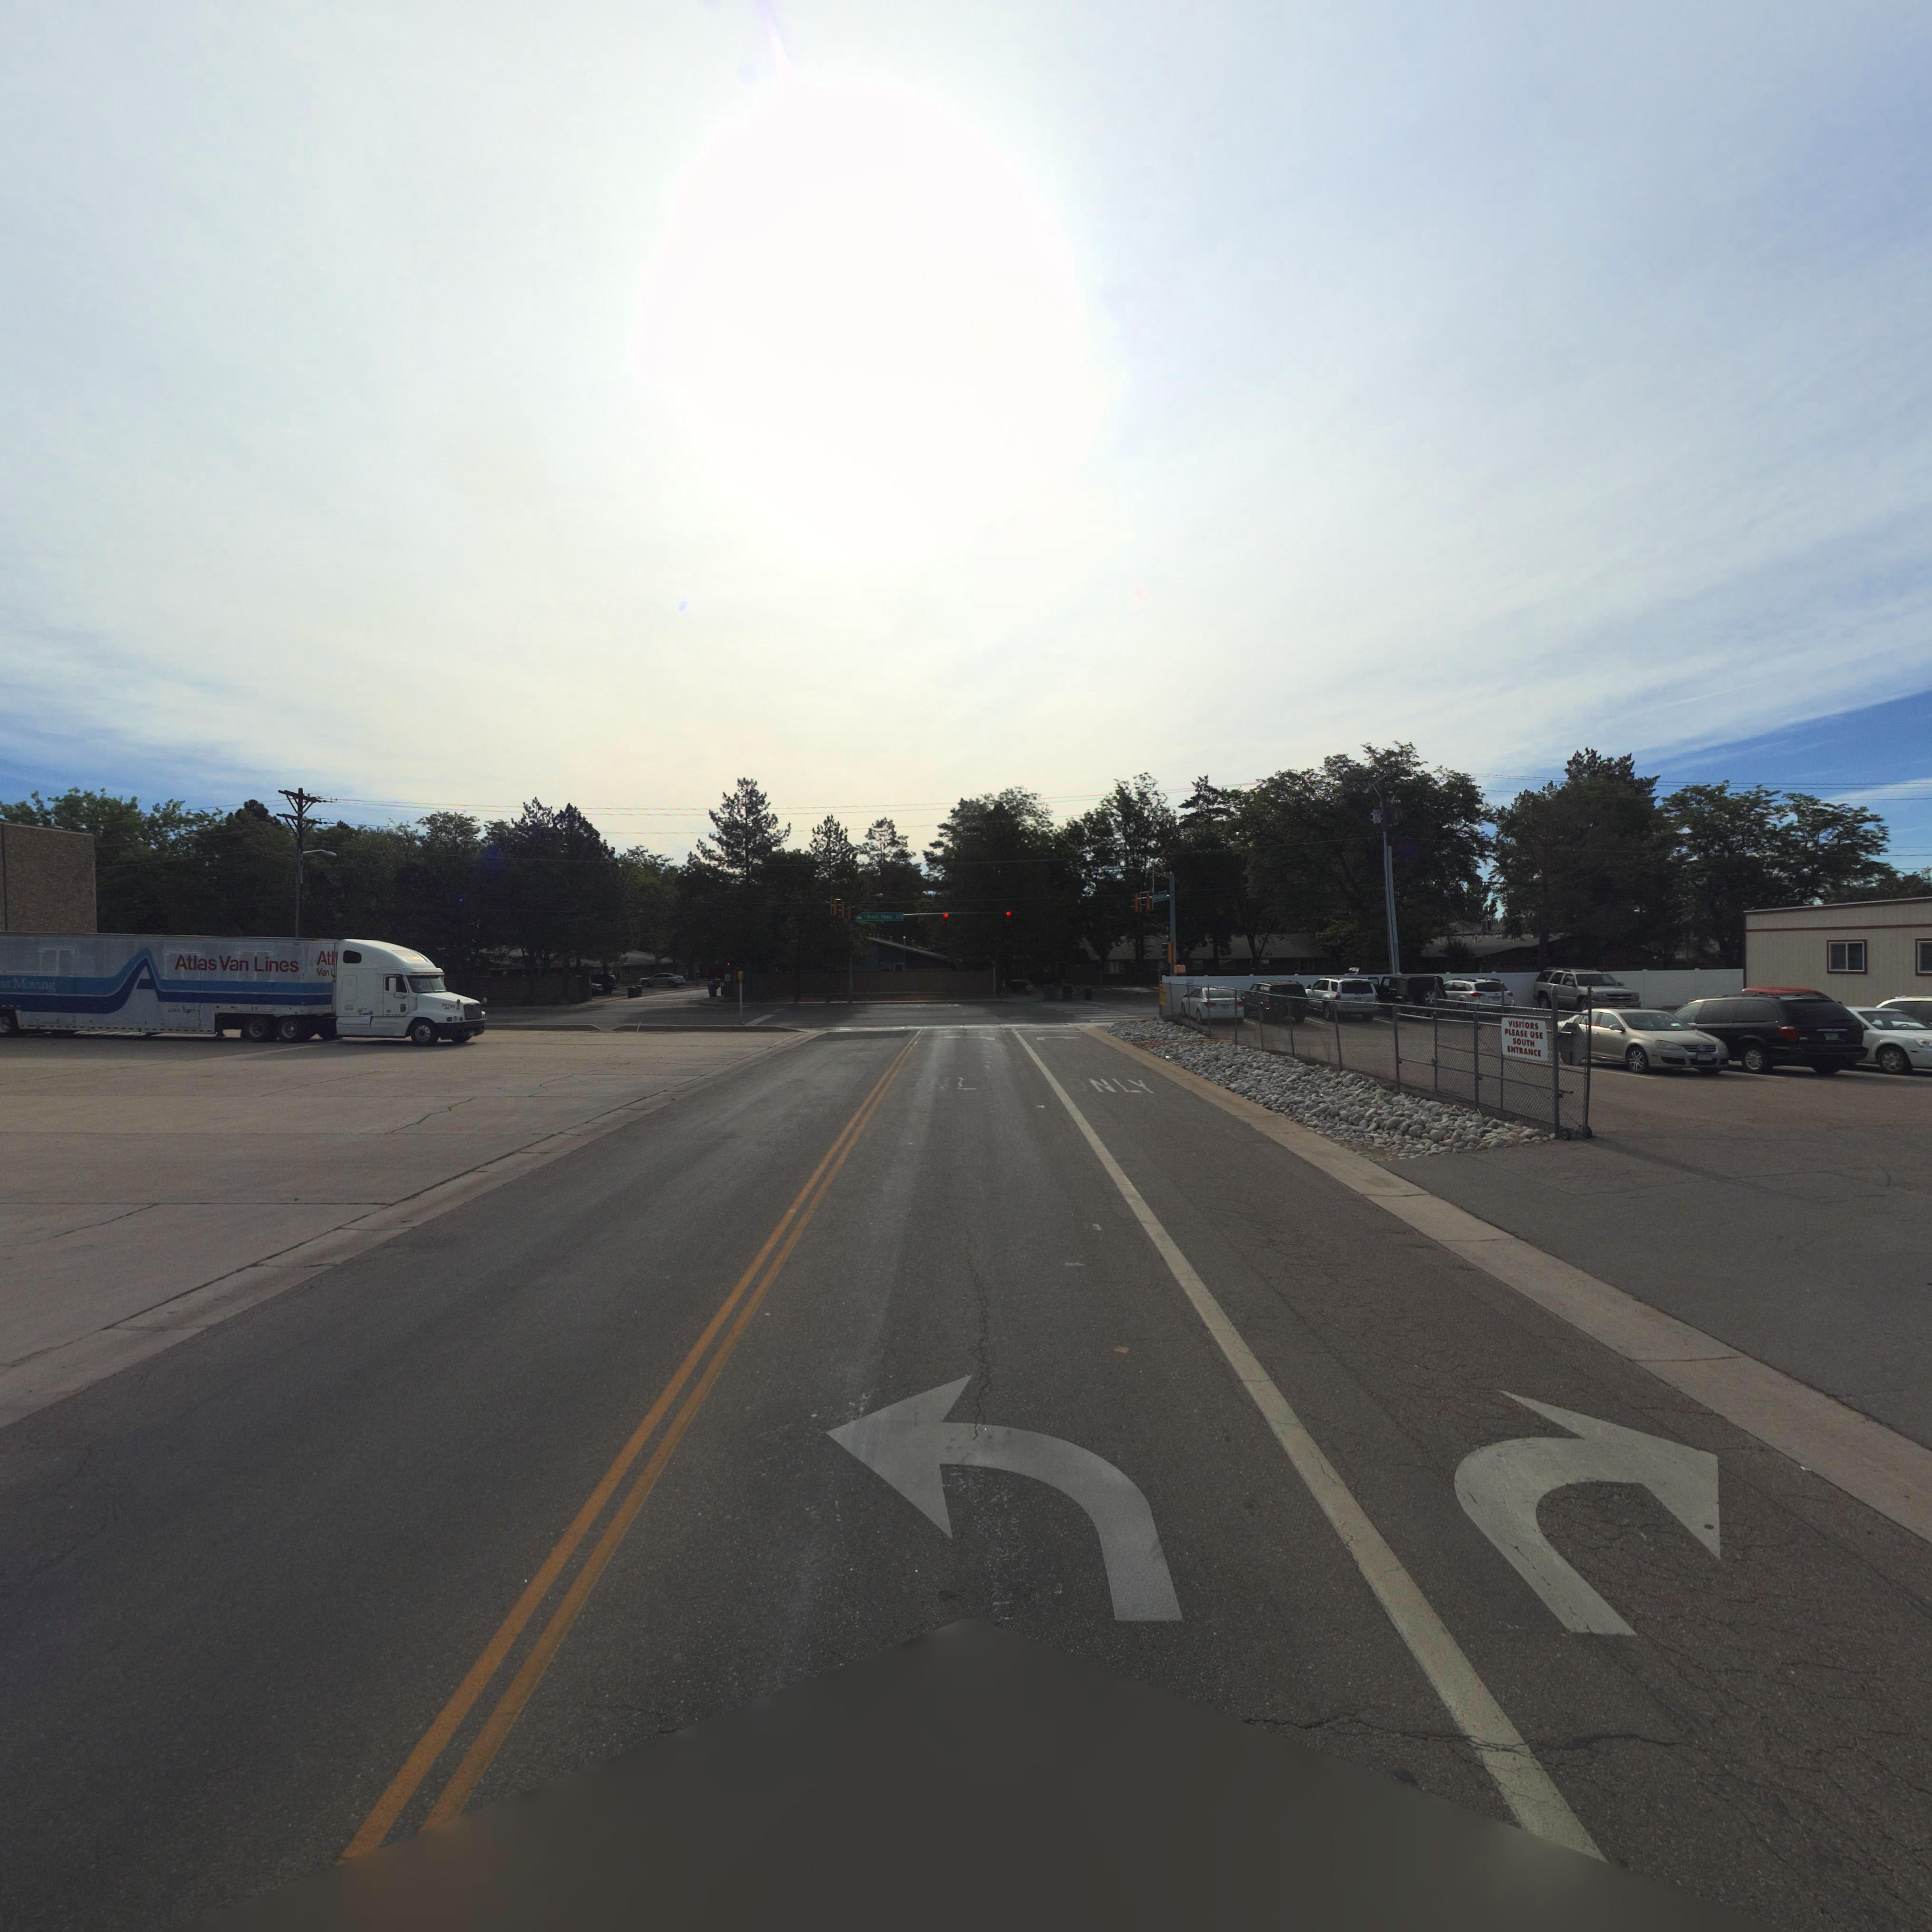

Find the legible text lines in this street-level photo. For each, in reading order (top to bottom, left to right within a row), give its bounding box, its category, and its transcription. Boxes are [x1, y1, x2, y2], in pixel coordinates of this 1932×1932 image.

[866, 914, 892, 919] StreetName: P**** P**y